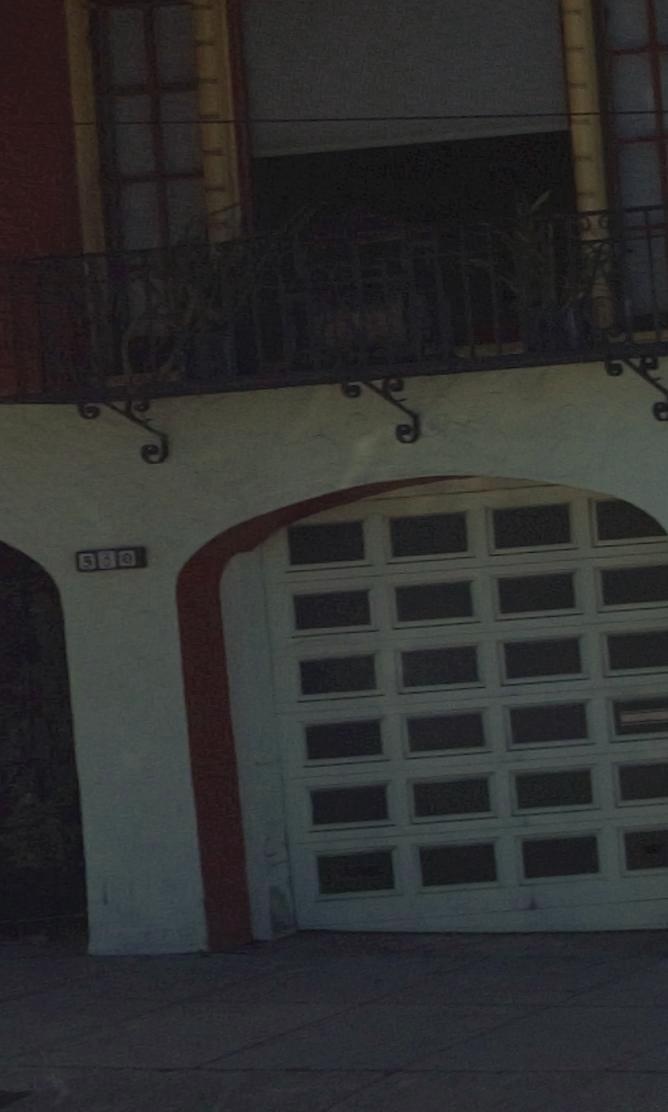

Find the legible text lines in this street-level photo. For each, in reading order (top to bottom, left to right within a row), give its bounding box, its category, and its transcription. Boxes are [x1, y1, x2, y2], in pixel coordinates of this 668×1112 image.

[80, 551, 134, 570] StreetNumber: 580